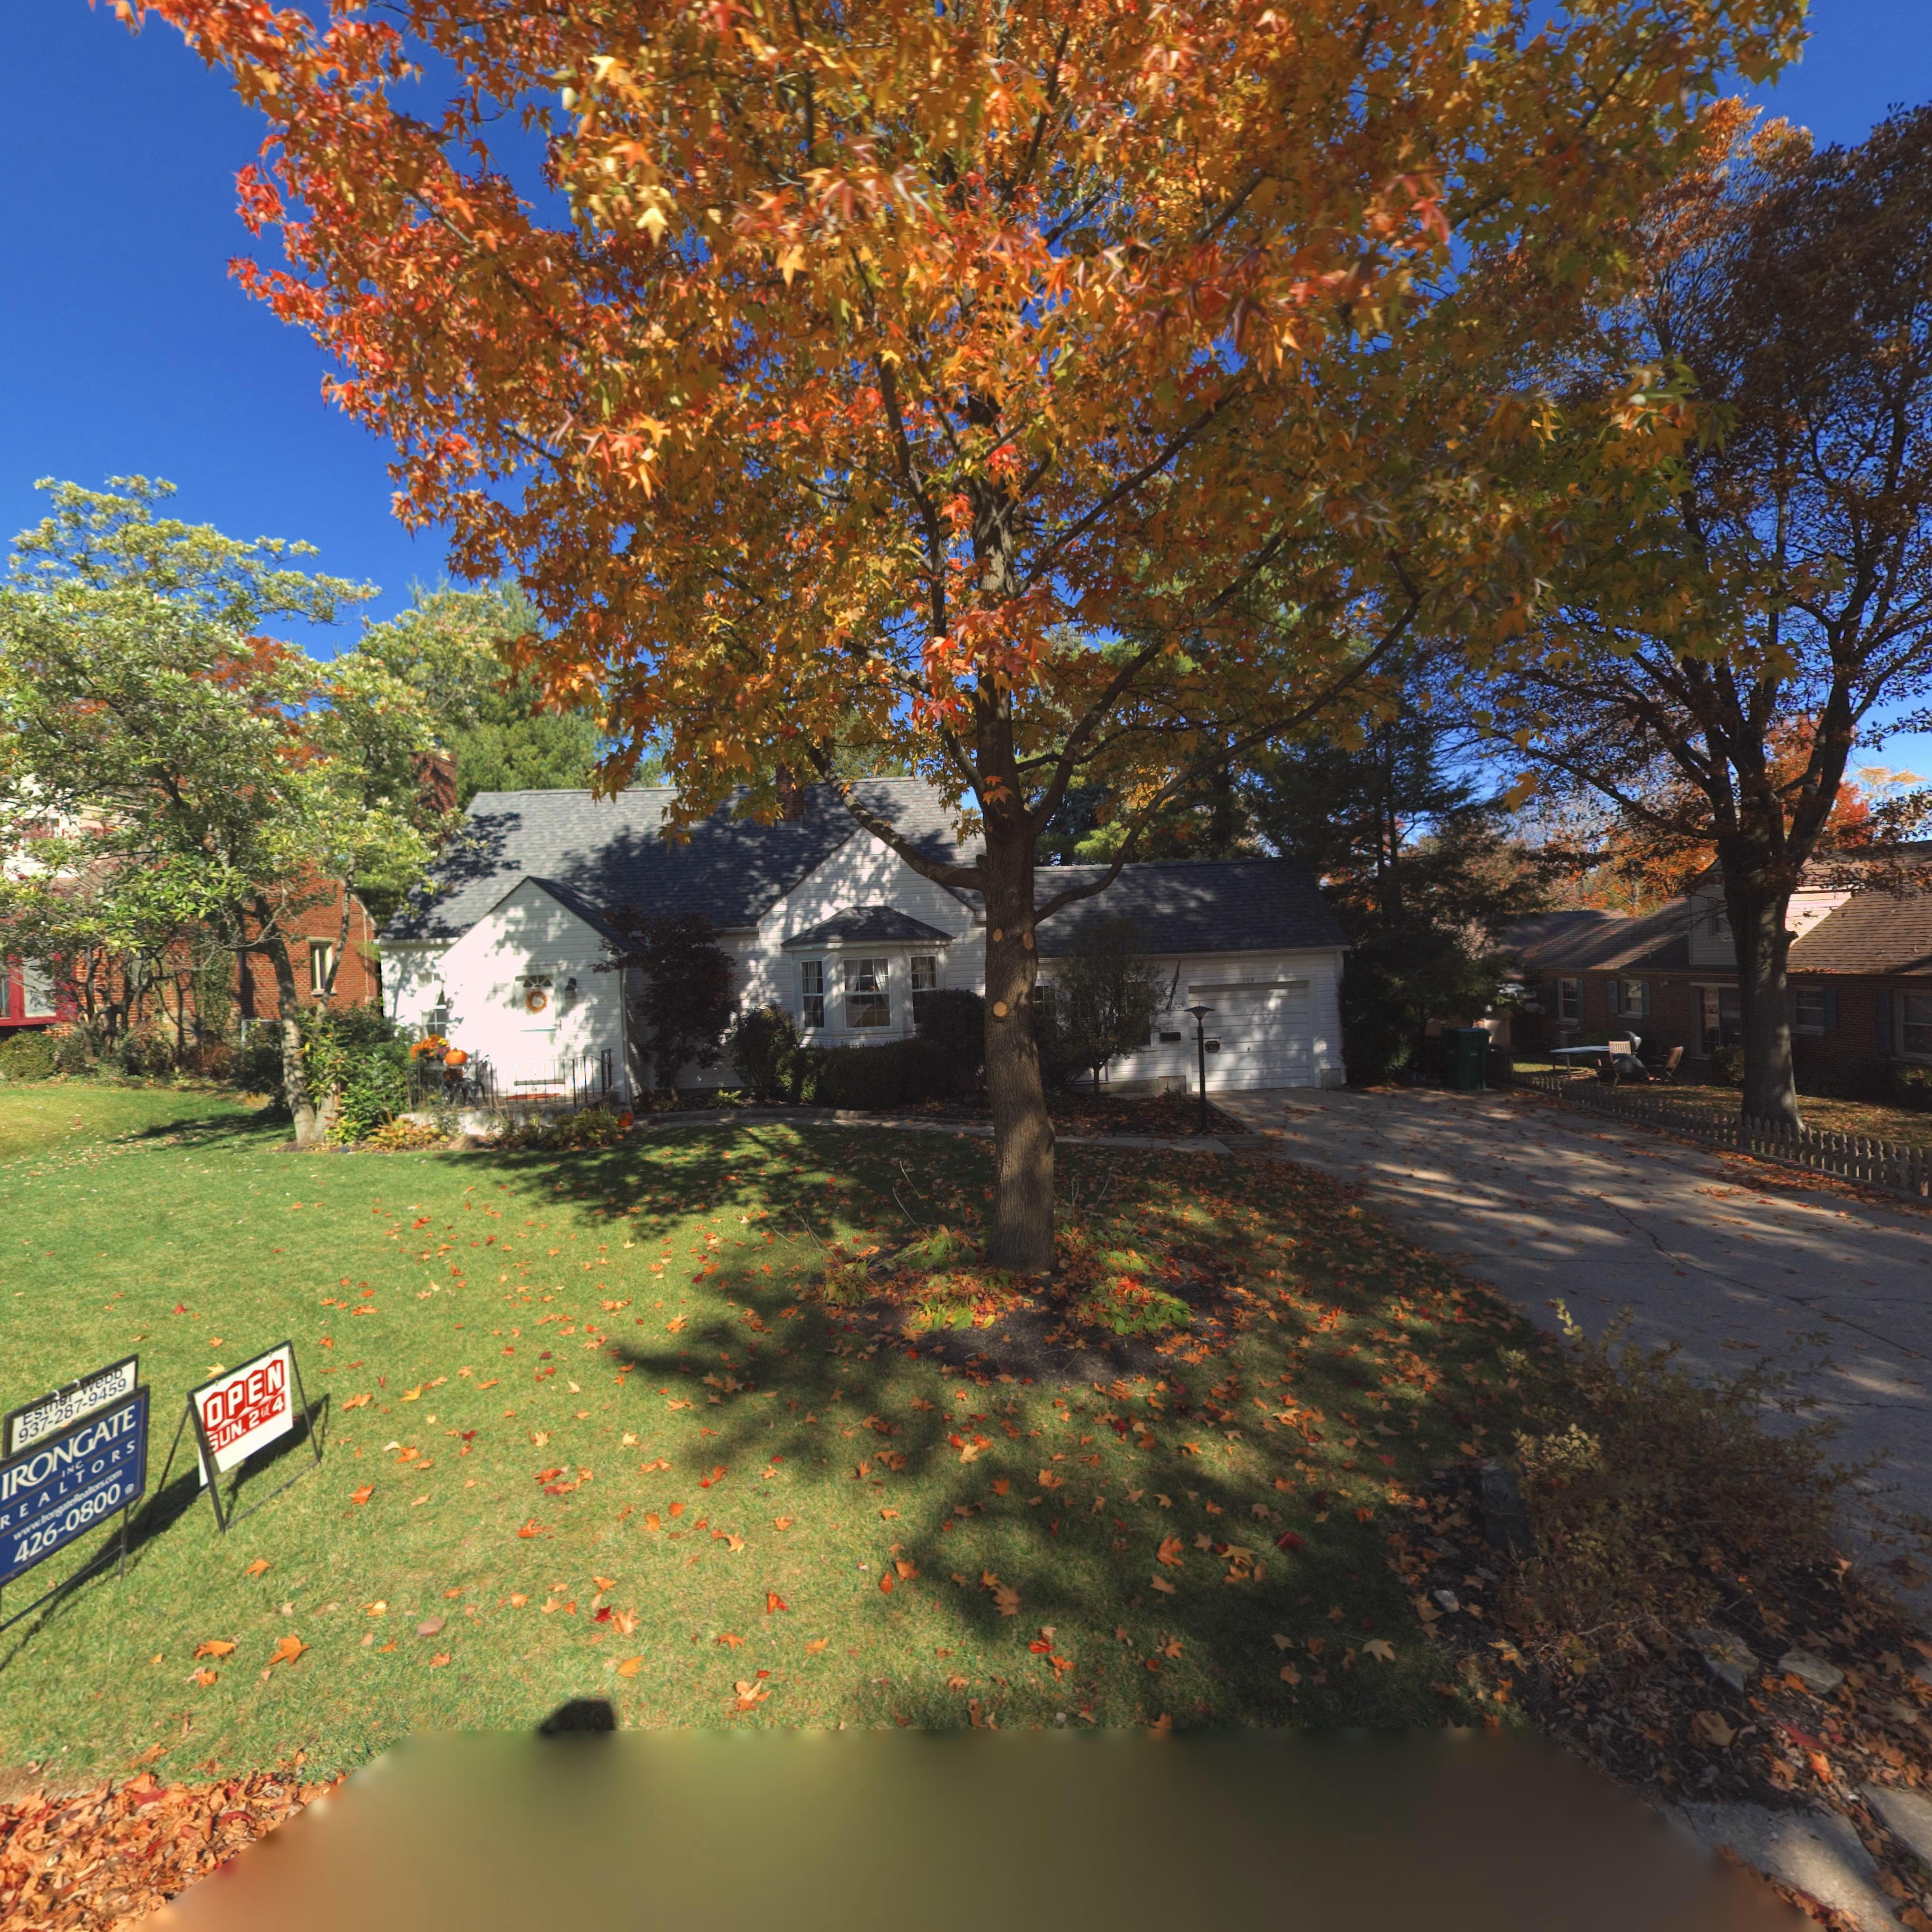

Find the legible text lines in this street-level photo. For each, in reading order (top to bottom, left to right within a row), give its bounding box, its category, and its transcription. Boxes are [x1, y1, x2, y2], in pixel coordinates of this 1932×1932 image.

[1242, 976, 1255, 985] StreetNumber: 109
[1204, 1042, 1220, 1052] StreetNumber: *09